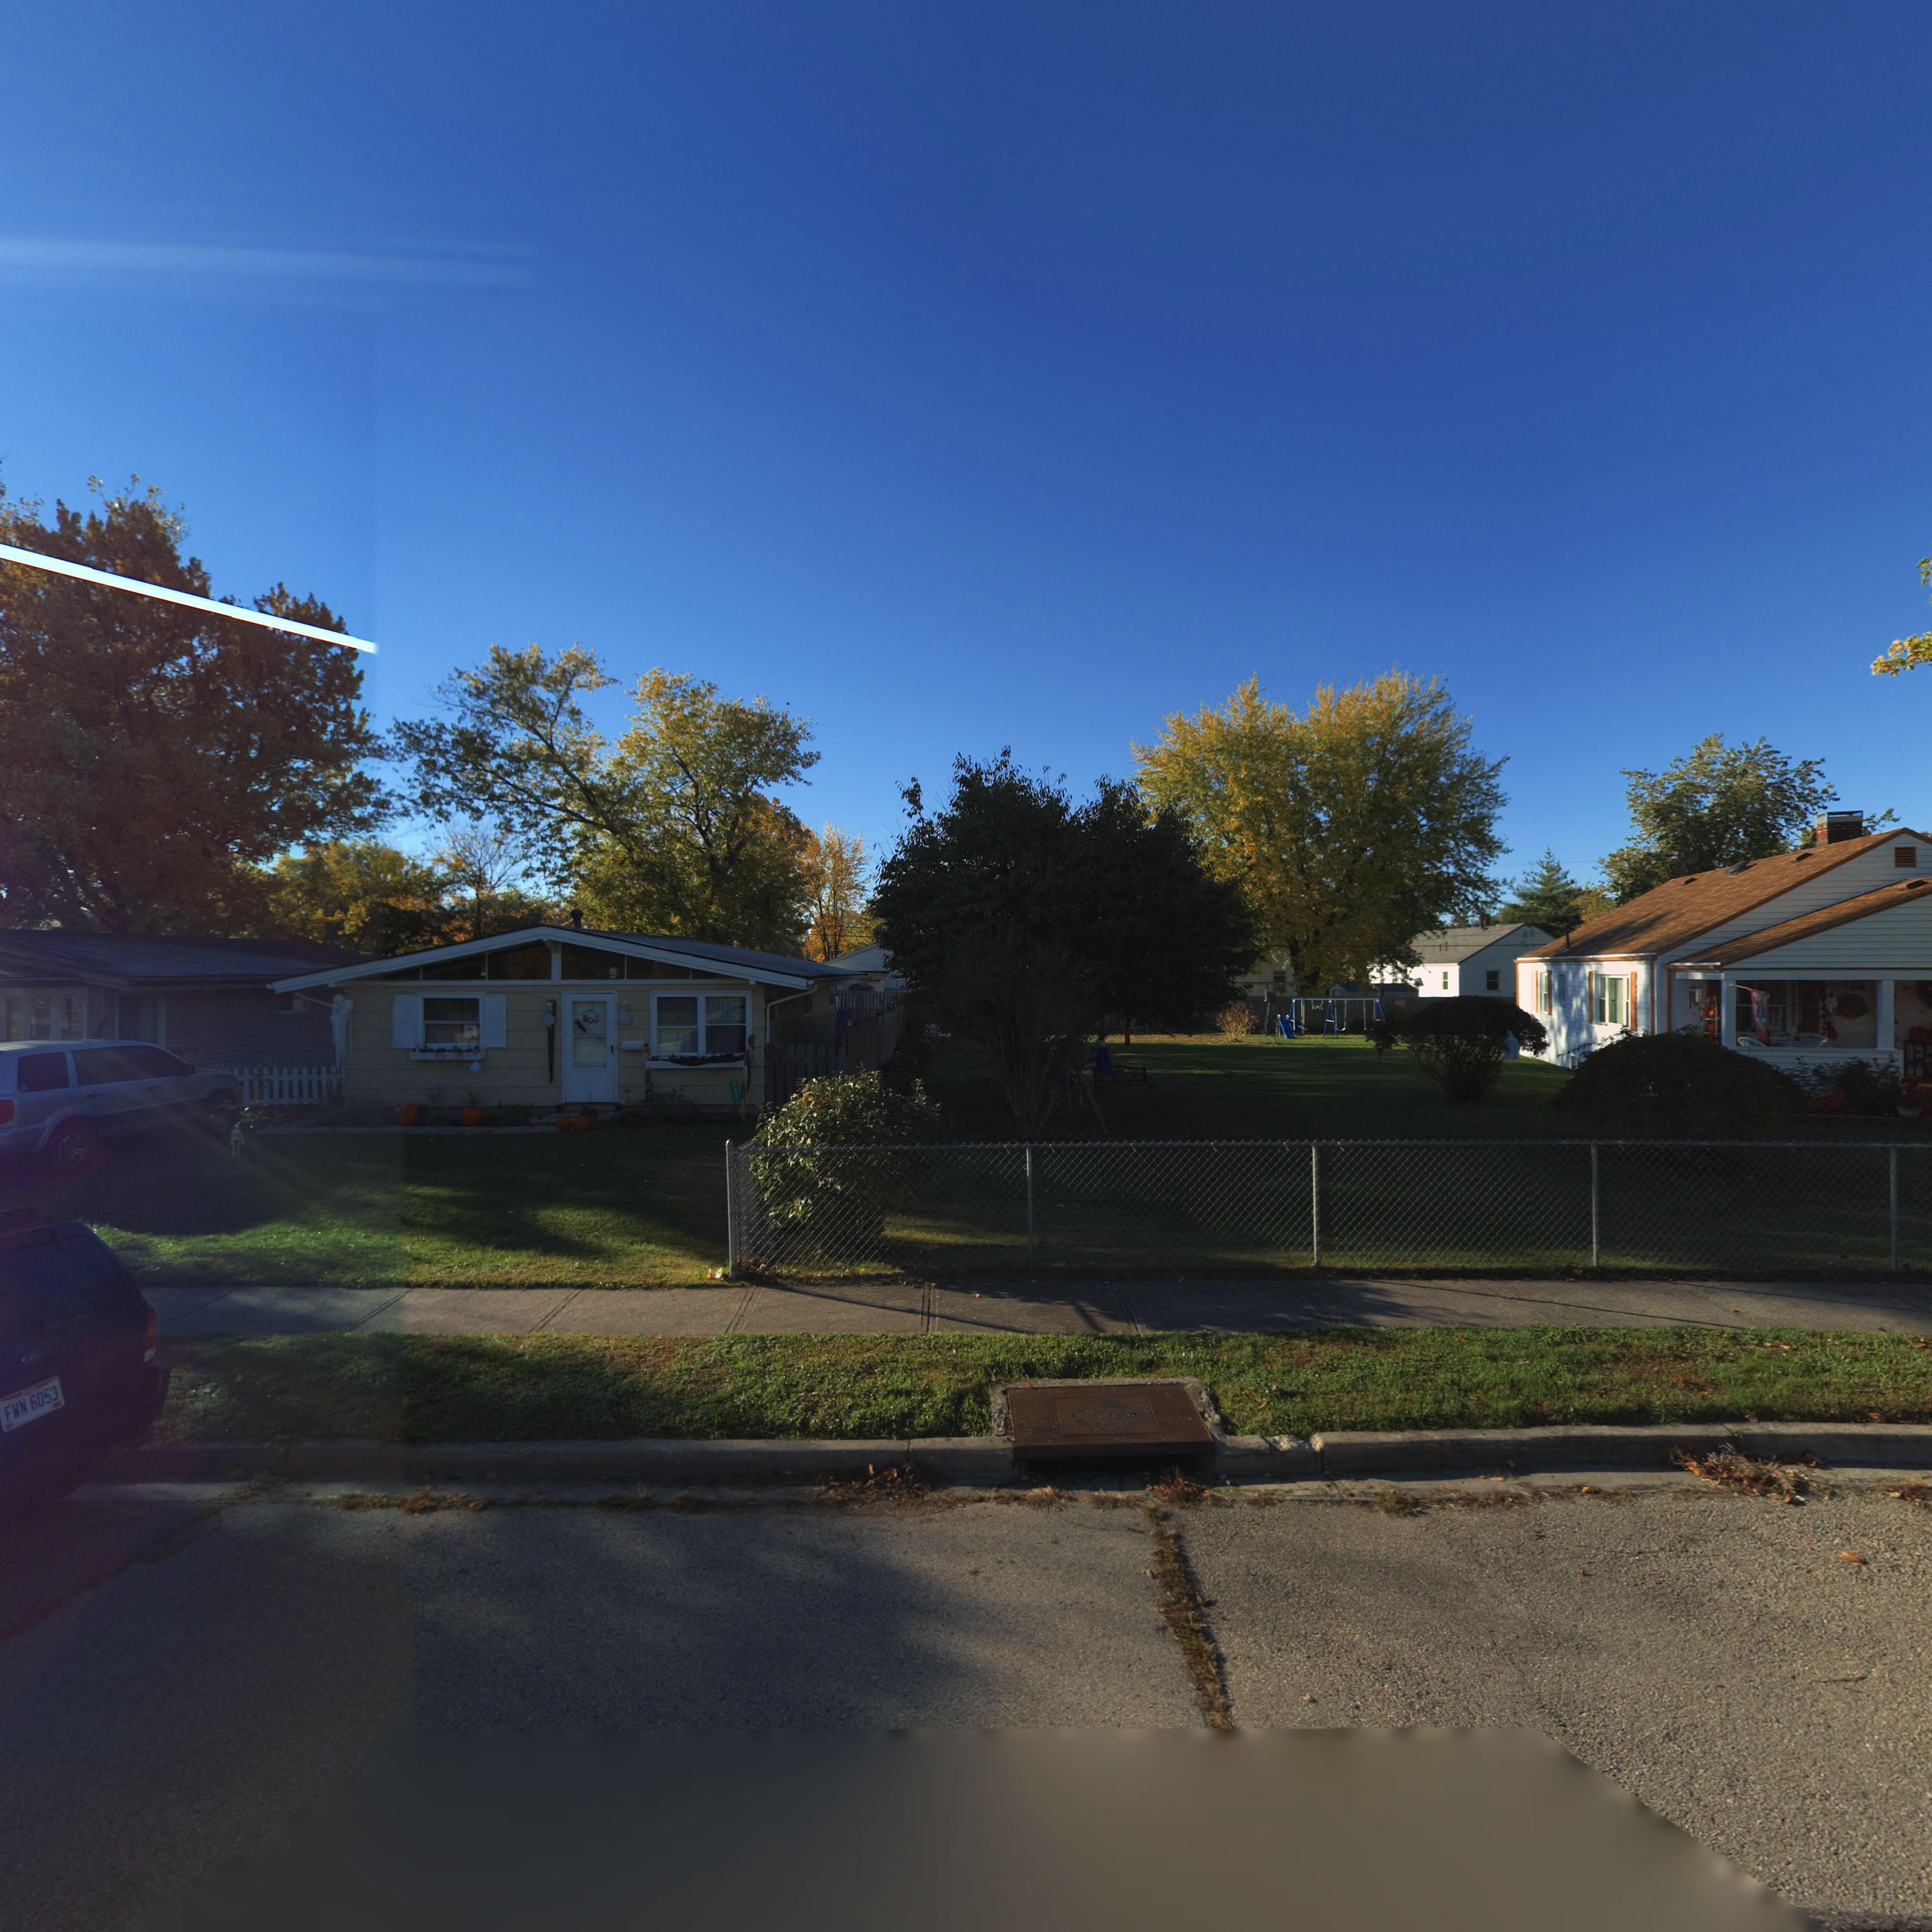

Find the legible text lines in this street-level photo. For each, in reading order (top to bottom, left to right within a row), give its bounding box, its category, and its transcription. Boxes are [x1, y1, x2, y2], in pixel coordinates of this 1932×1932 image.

[617, 1010, 647, 1034] StreetNumber: **02
[731, 1079, 740, 1105] StreetNumber: 2402